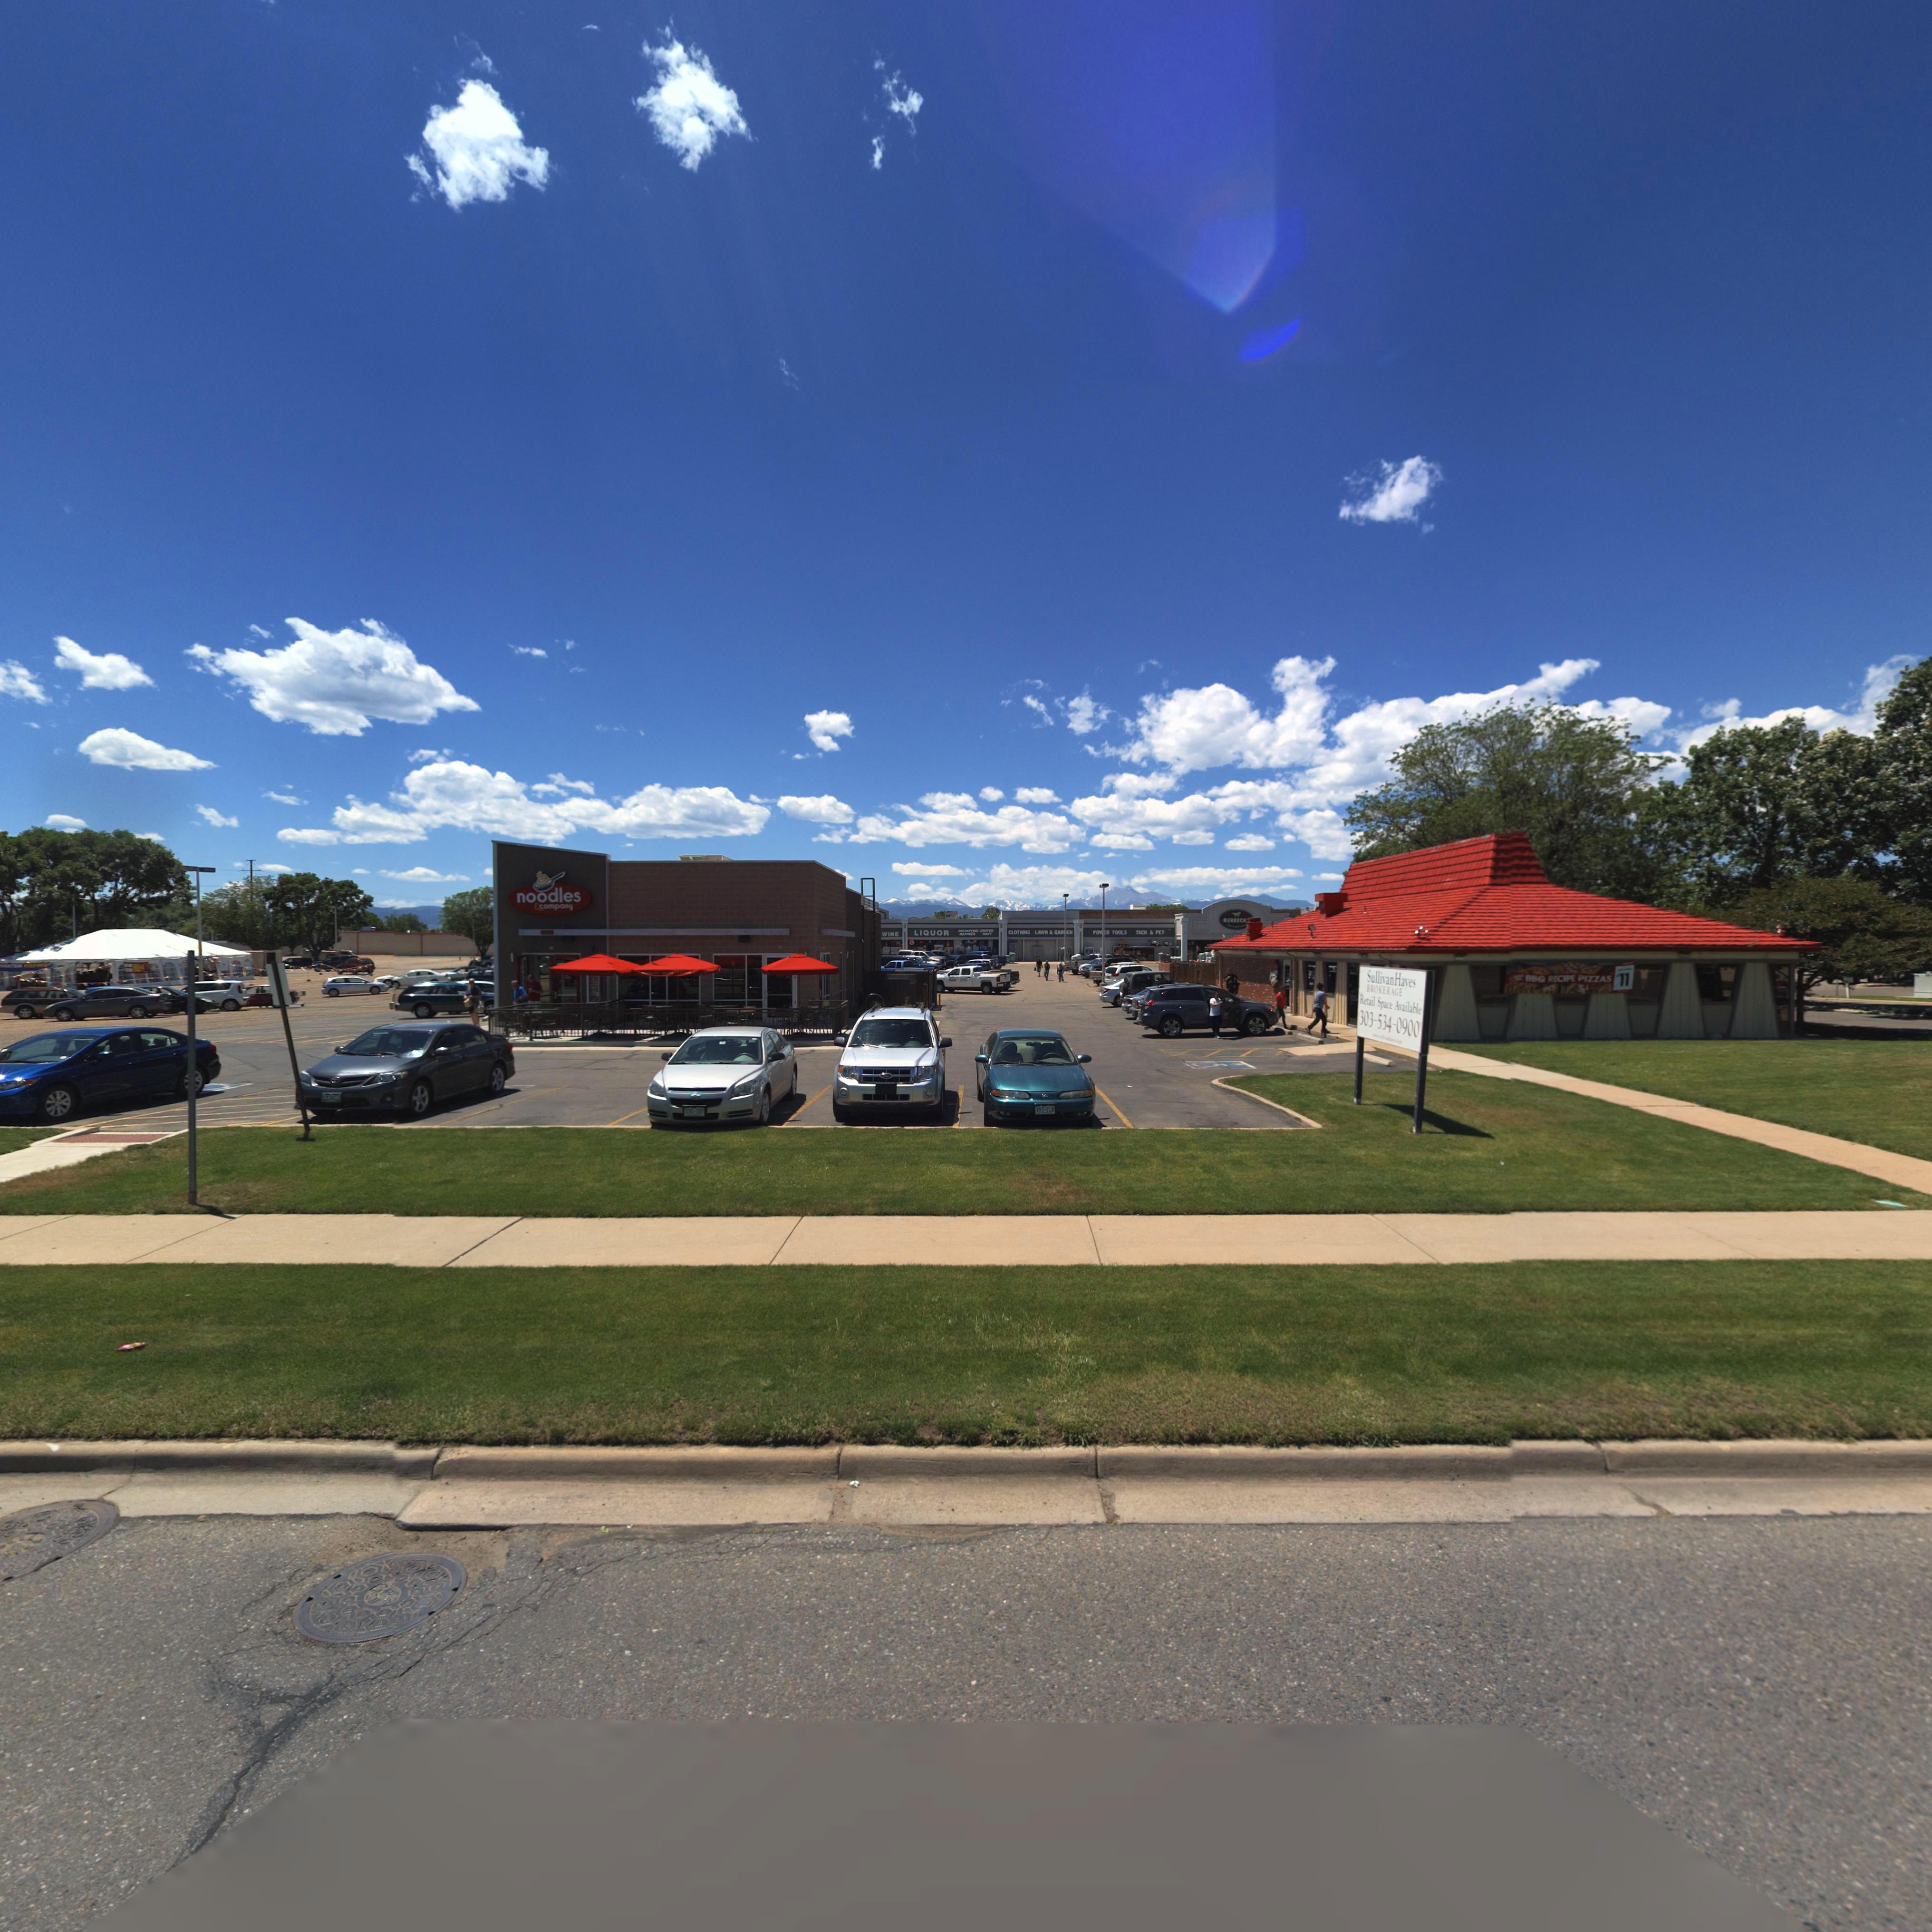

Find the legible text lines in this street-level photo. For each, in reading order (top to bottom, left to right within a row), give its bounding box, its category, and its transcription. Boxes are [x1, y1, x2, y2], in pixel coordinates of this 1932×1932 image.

[516, 887, 581, 903] BusinessName: noodles
[1223, 918, 1246, 922] BusinessName: *URDOC*